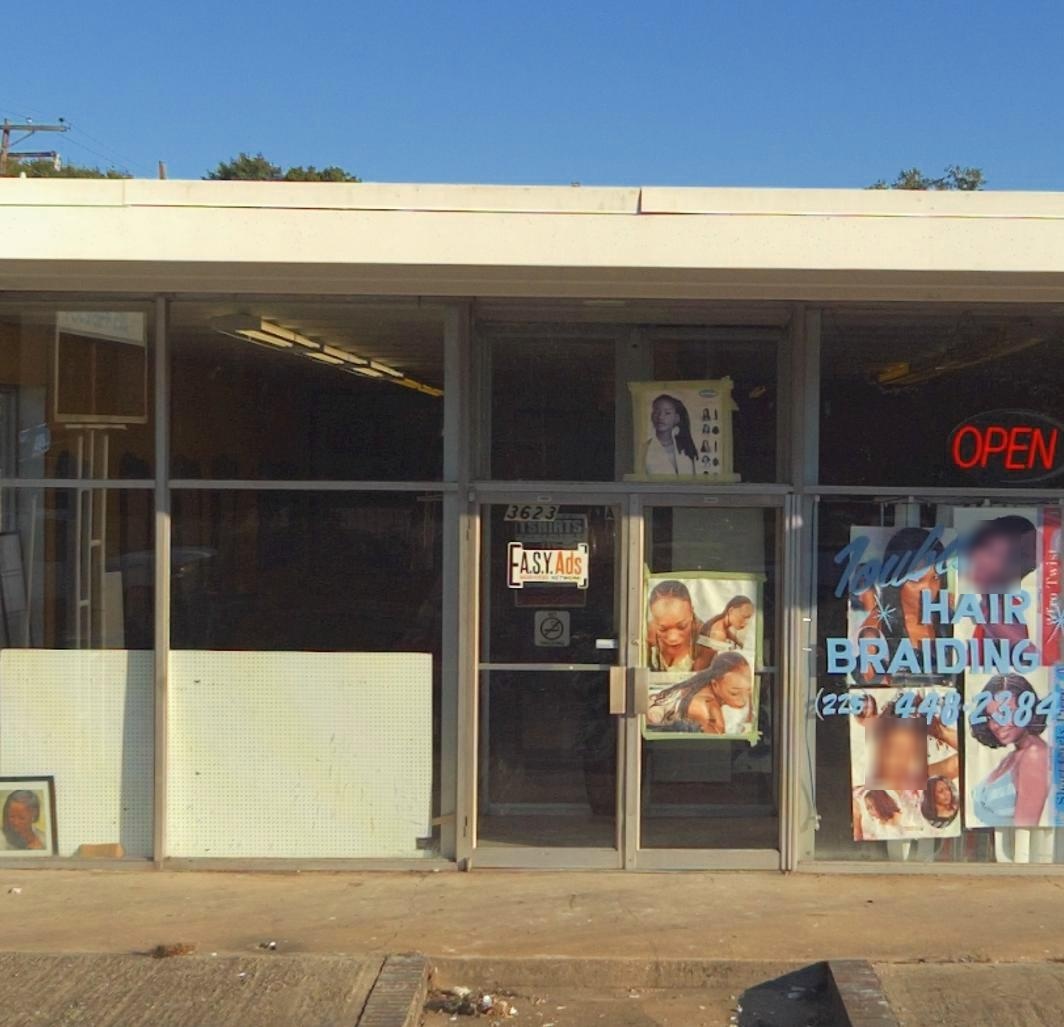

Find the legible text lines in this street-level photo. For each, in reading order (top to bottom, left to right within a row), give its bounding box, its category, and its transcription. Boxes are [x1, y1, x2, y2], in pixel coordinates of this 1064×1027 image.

[949, 420, 1062, 474] None: OPEN
[505, 503, 559, 522] StreetNumber: 3623
[504, 540, 591, 592] None: EA.S.Y. Ads
[829, 519, 984, 606] BusinessName: Louba
[917, 585, 1037, 631] BusinessName: HAIR
[820, 632, 1044, 678] BusinessName: BRAIDING
[811, 683, 1064, 730] None: (226) 448-2384